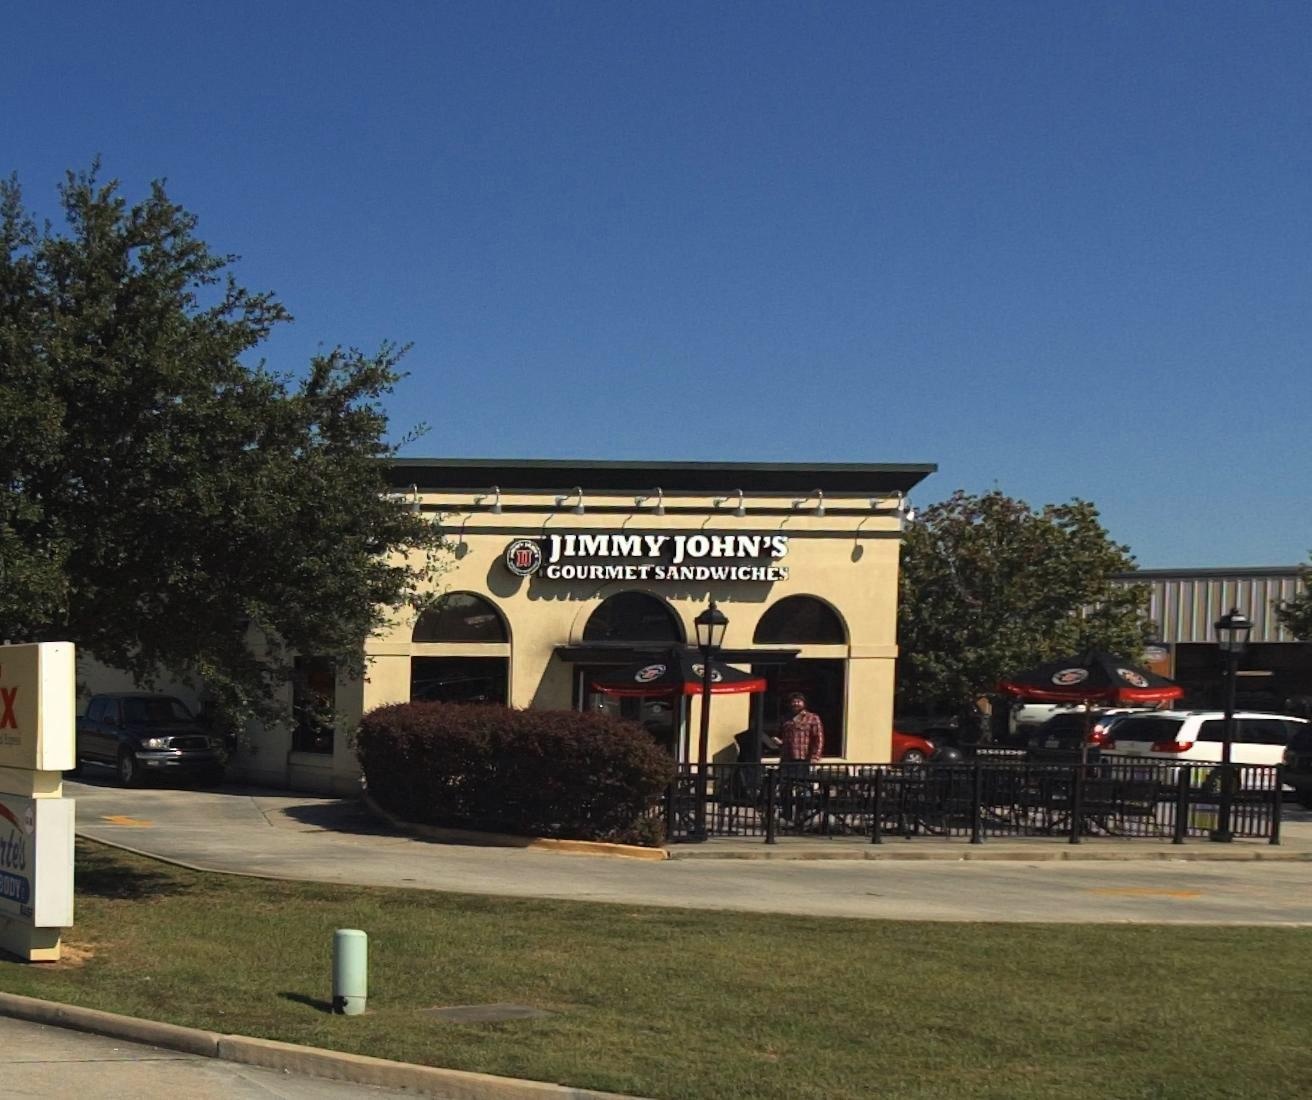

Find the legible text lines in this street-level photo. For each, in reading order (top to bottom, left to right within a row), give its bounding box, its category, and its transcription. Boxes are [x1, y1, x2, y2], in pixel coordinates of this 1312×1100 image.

[514, 548, 534, 569] None: JJ
[543, 560, 791, 584] None: GOURMET SANDWICHES
[546, 531, 790, 568] BusinessName: JIMMY JOHN'S
[0, 683, 21, 734] BusinessName: X
[3, 826, 29, 874] BusinessName: te's
[1, 871, 24, 902] None: ODY